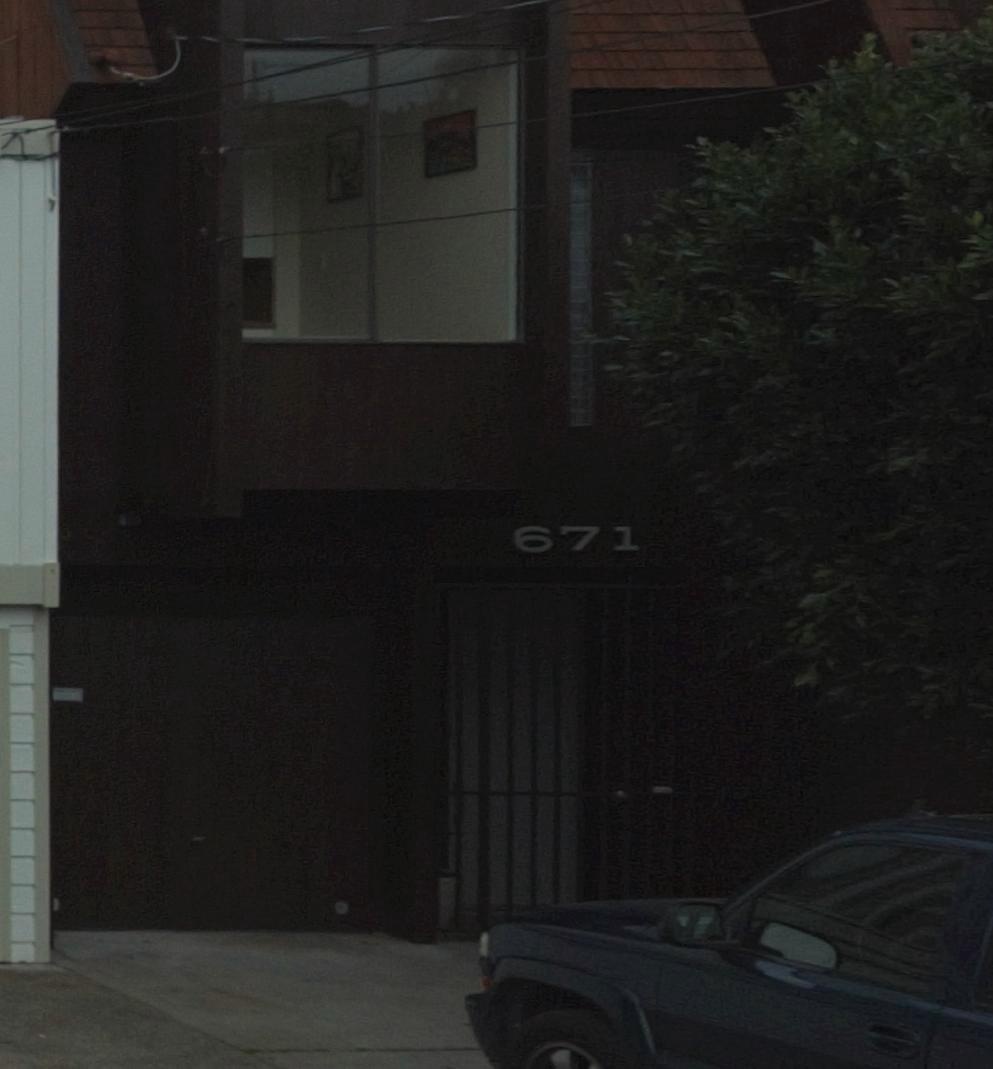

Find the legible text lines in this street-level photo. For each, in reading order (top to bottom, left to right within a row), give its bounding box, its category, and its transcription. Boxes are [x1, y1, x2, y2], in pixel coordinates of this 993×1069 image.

[511, 523, 641, 555] StreetNumber: 671